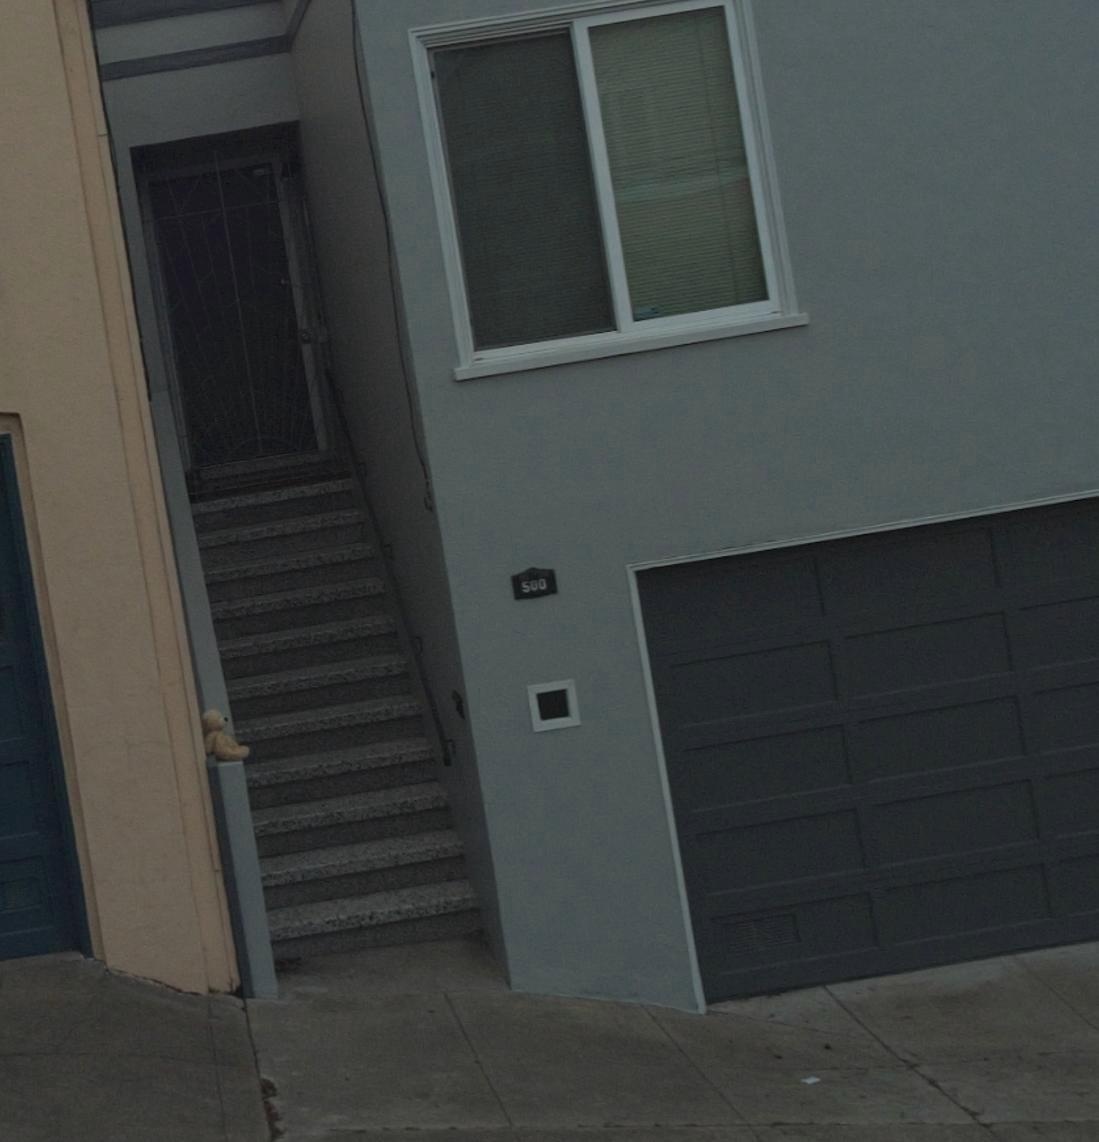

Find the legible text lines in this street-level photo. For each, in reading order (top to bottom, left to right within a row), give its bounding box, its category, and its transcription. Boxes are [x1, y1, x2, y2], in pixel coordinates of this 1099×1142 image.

[519, 578, 548, 593] StreetNumber: 500